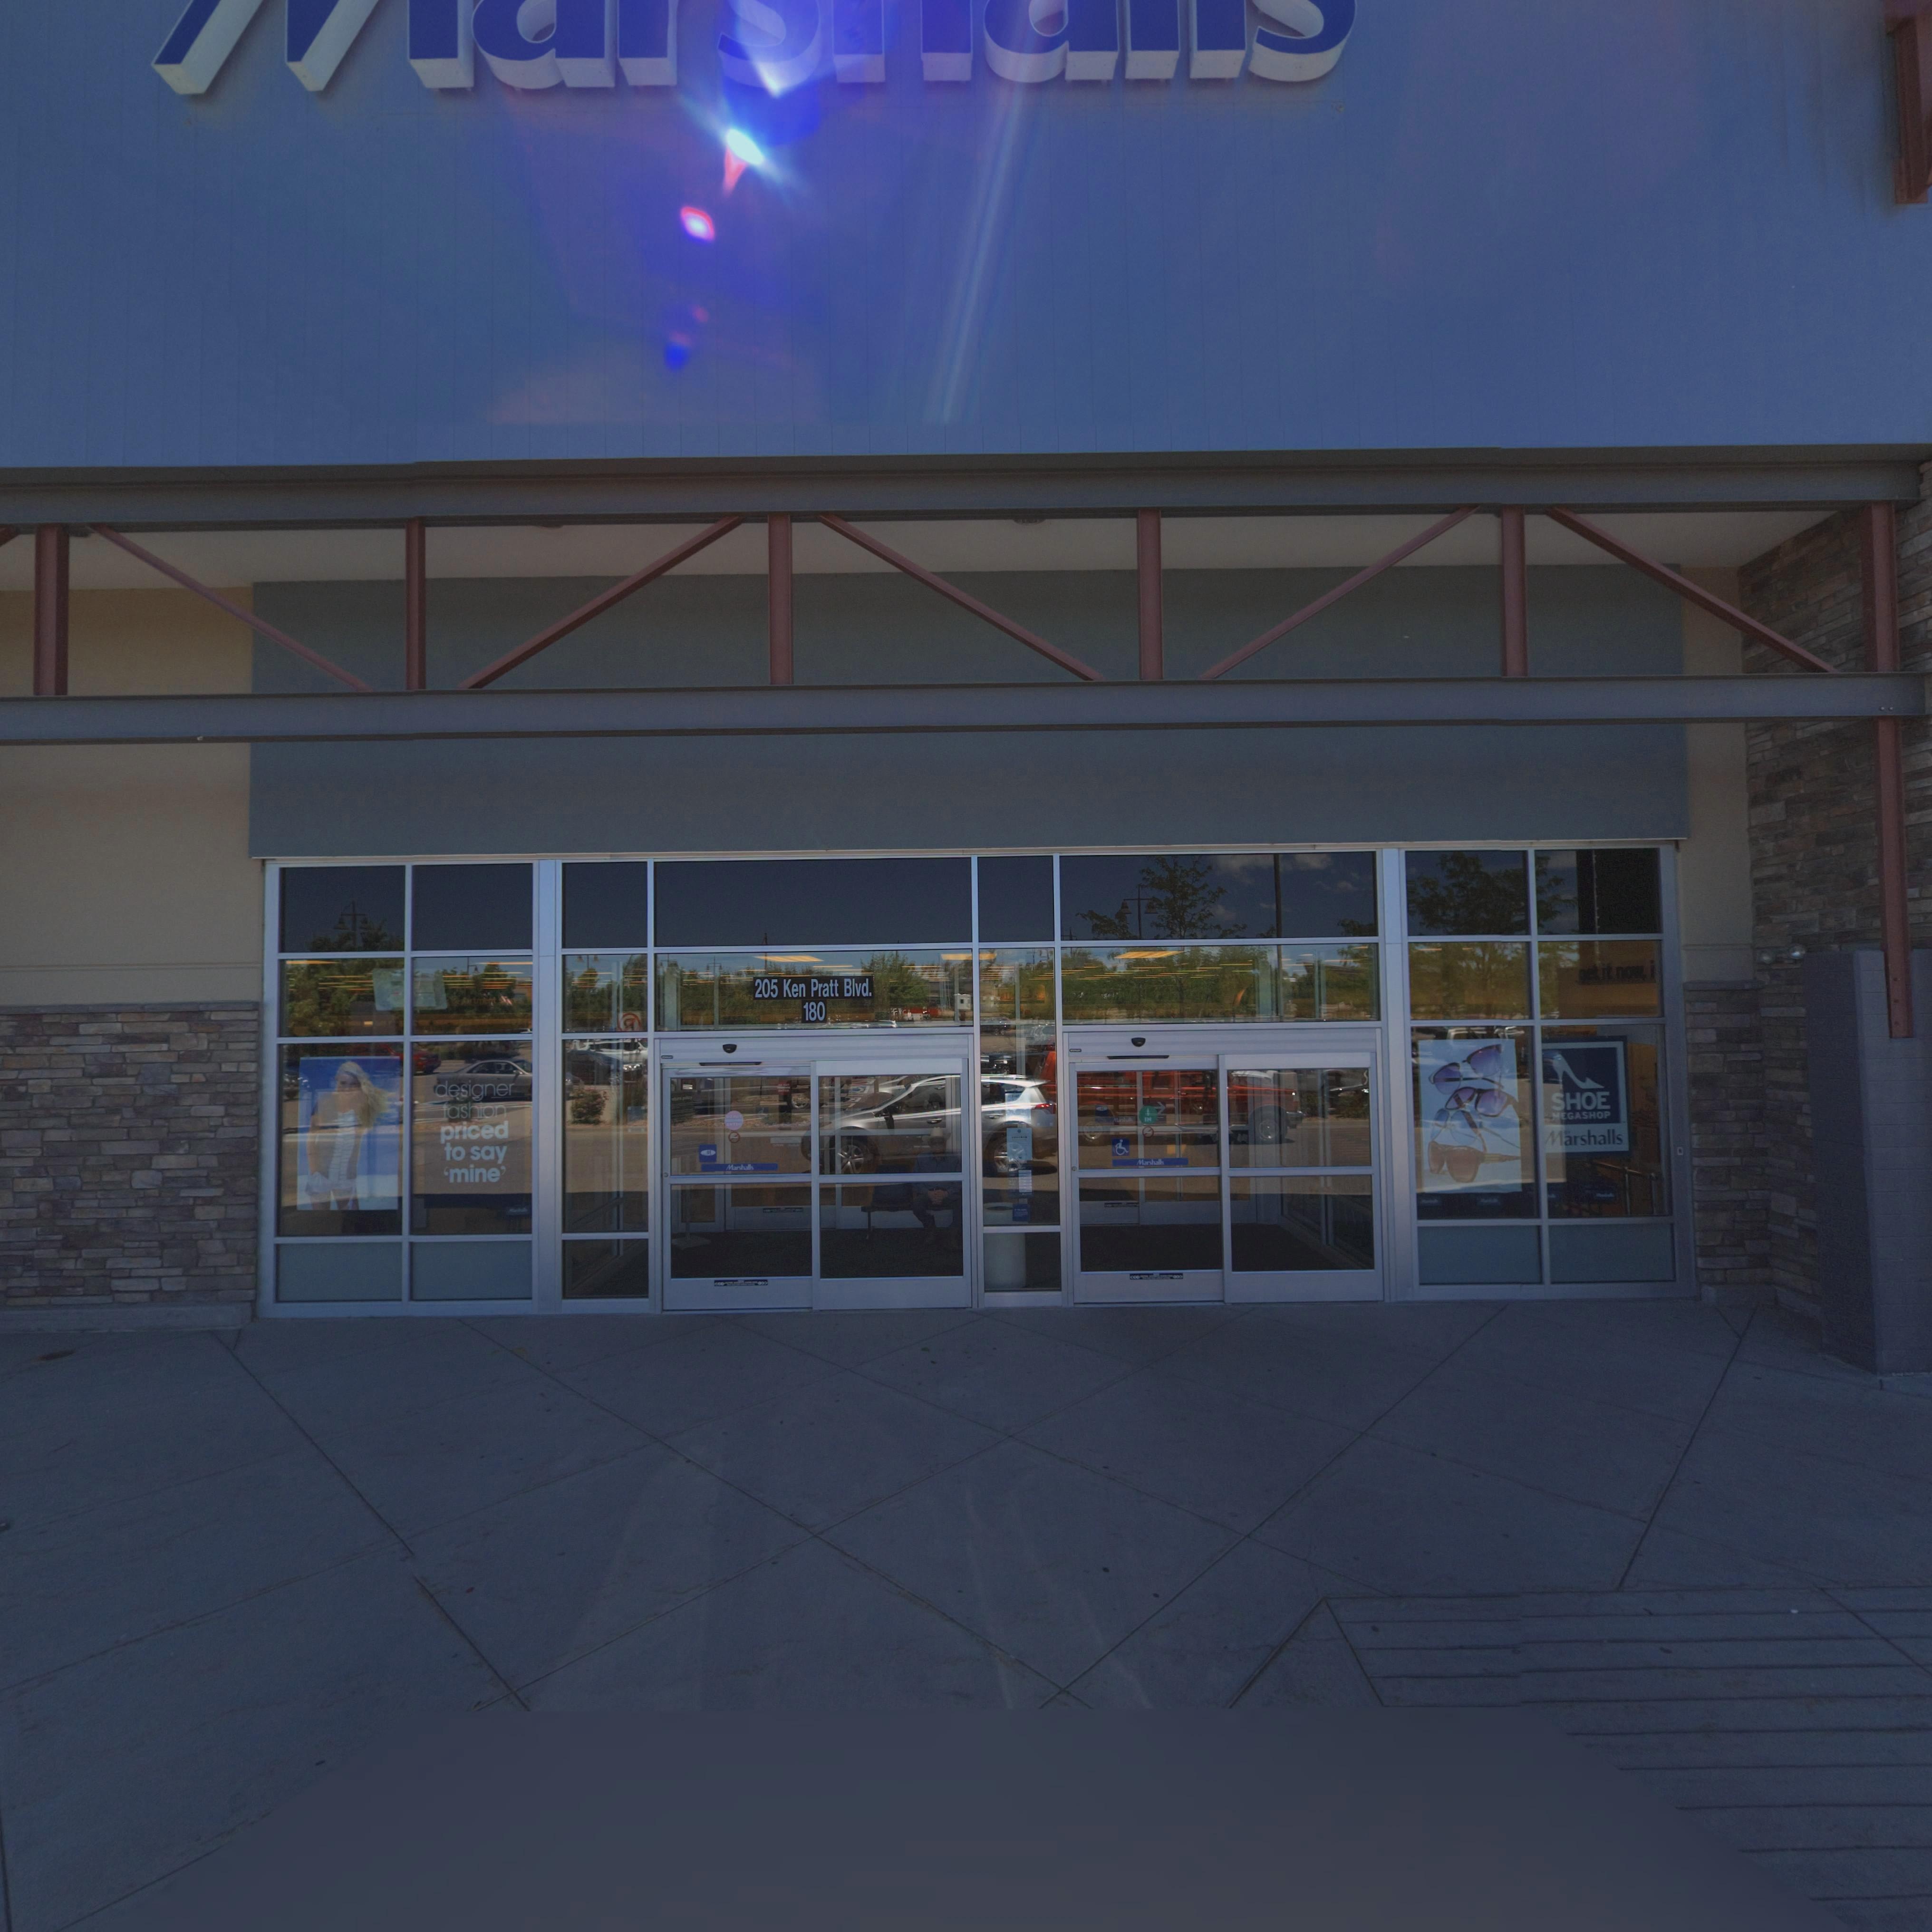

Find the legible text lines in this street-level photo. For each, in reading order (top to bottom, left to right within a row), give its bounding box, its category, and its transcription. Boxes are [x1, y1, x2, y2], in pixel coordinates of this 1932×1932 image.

[754, 978, 778, 997] StreetNumber: 205
[783, 978, 872, 997] StreetName: Ken Pratt Blvd
[803, 1001, 825, 1021] SecondaryUnitDesignator: 180
[1112, 1117, 1134, 1122] BusinessName: Marshalls
[1545, 1128, 1624, 1146] BusinessName: Marshalls
[725, 1164, 754, 1170] BusinessName: Marshalls
[1136, 1158, 1164, 1165] BusinessName: Marshalls
[508, 1207, 528, 1213] BusinessName: Marshalls